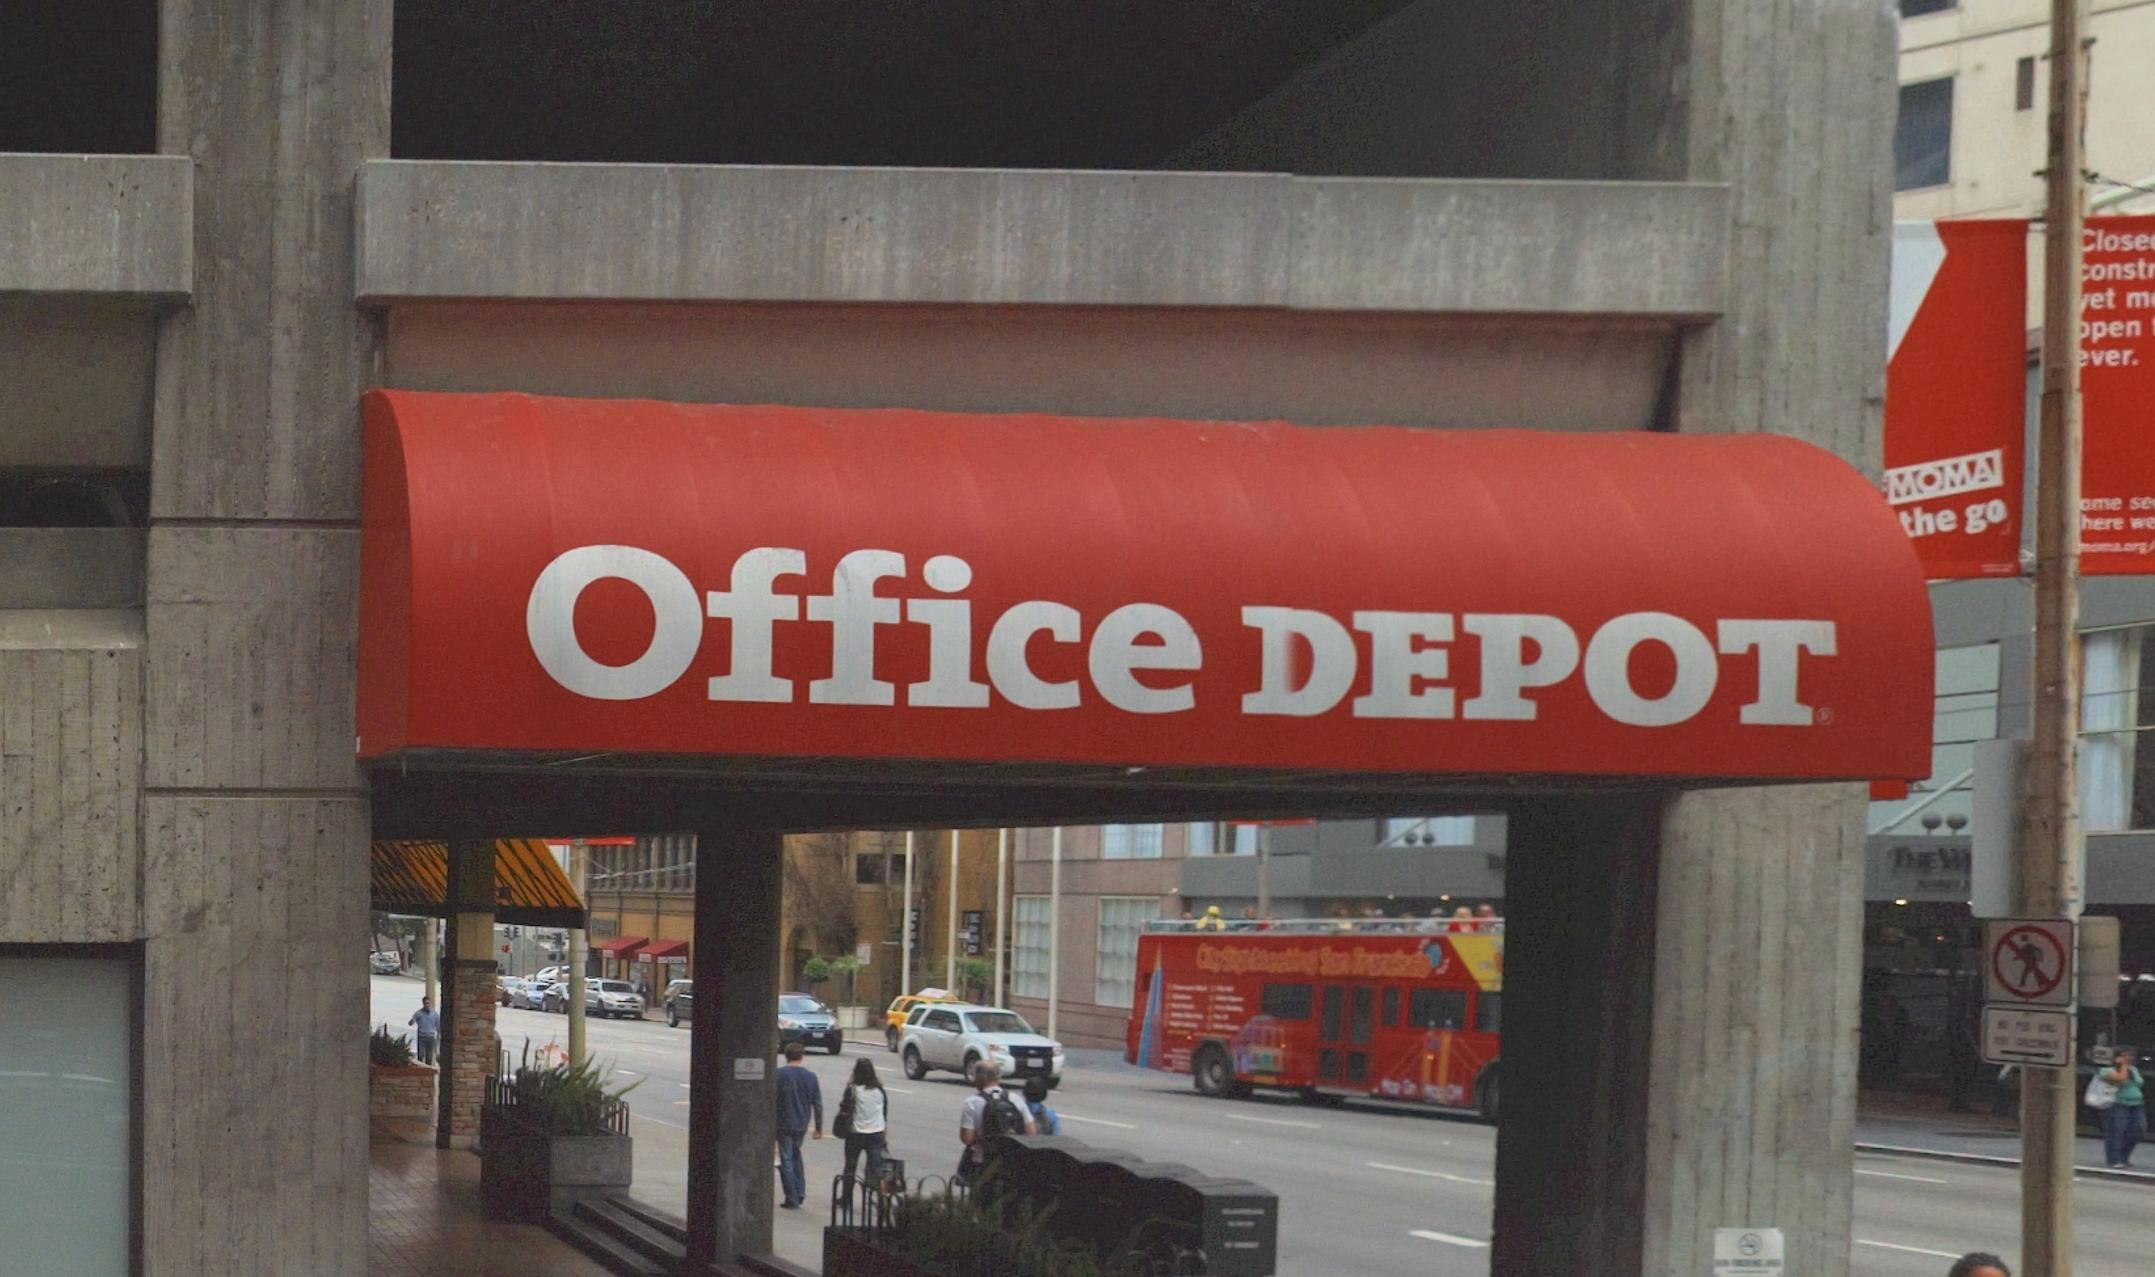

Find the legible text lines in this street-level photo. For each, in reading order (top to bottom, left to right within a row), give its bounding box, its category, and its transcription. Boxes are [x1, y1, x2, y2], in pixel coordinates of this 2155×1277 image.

[2093, 224, 2153, 257] None: lose
[2087, 254, 2153, 284] None: onst
[2088, 283, 2152, 312] None: et m
[2089, 314, 2147, 347] None: pen
[2087, 346, 2141, 370] None: ver.
[1887, 453, 1999, 505] None: MOMA
[1894, 493, 2012, 544] None: the go
[2078, 512, 2148, 532] None: here w
[2127, 493, 2154, 512] None: se
[519, 534, 1844, 736] BusinessName: Office DEPOT